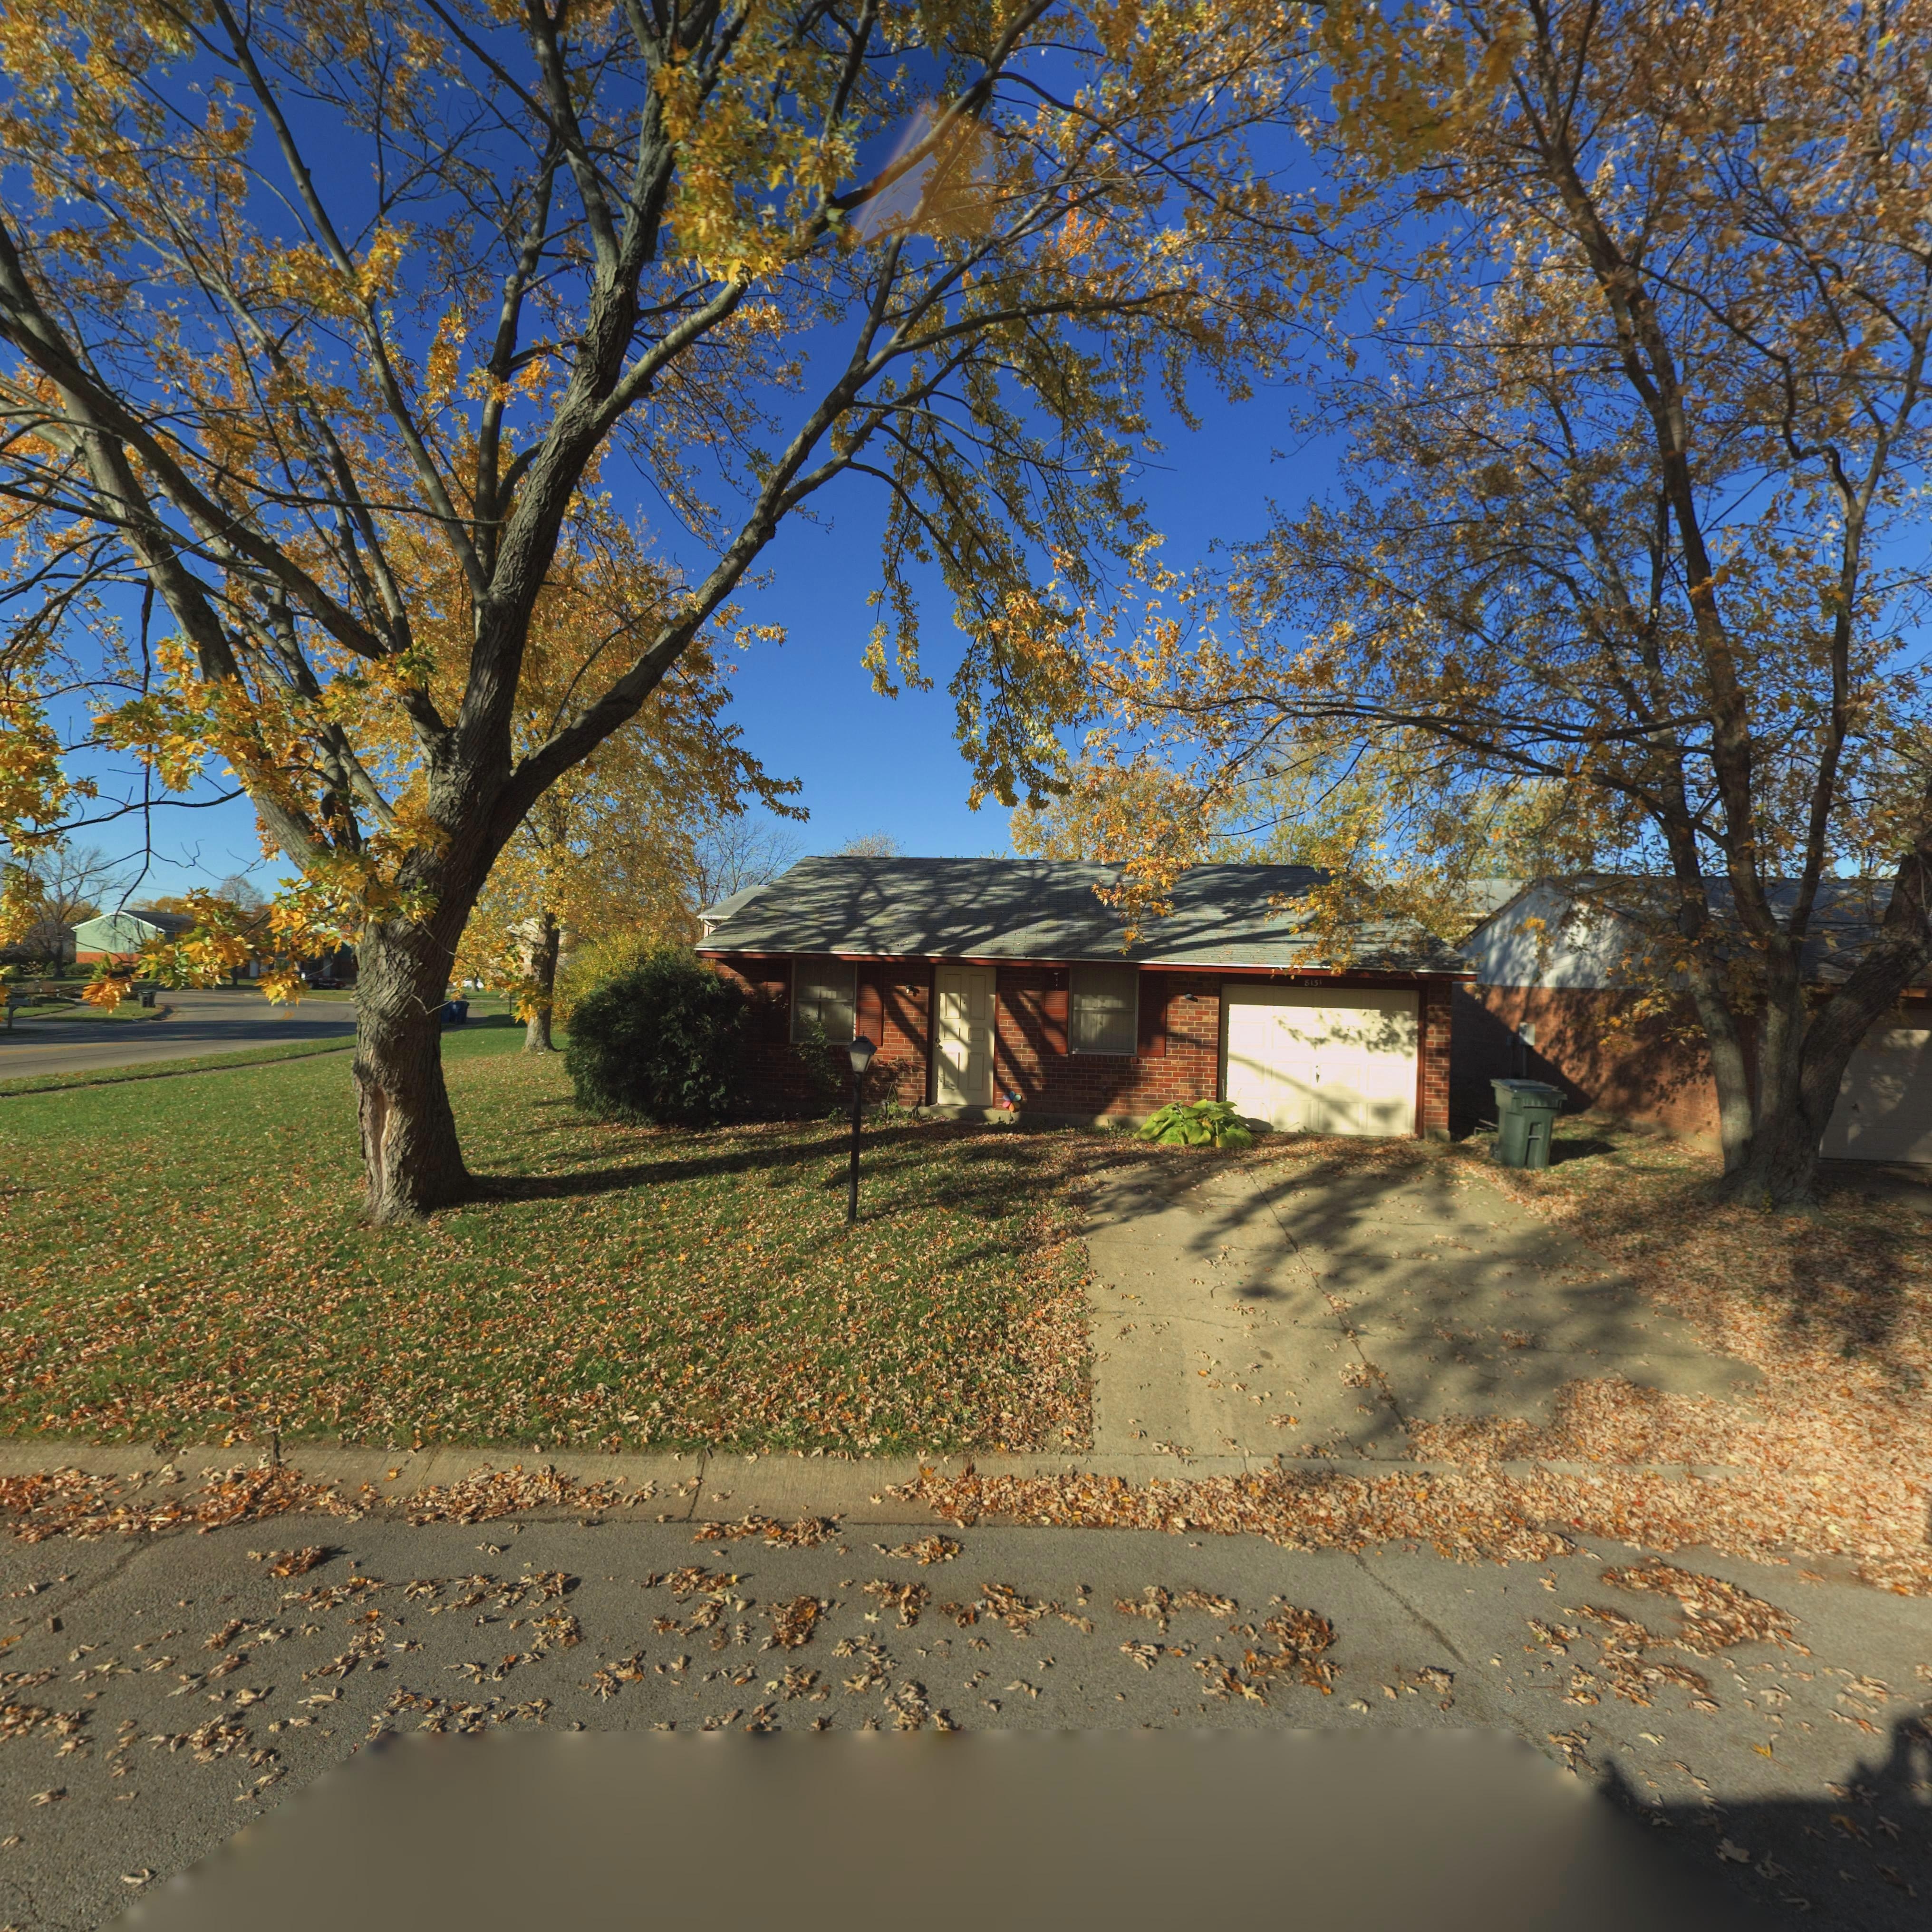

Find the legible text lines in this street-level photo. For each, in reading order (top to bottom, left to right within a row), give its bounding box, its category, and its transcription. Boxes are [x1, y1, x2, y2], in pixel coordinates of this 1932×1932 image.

[1304, 977, 1322, 987] StreetNumber: 8131